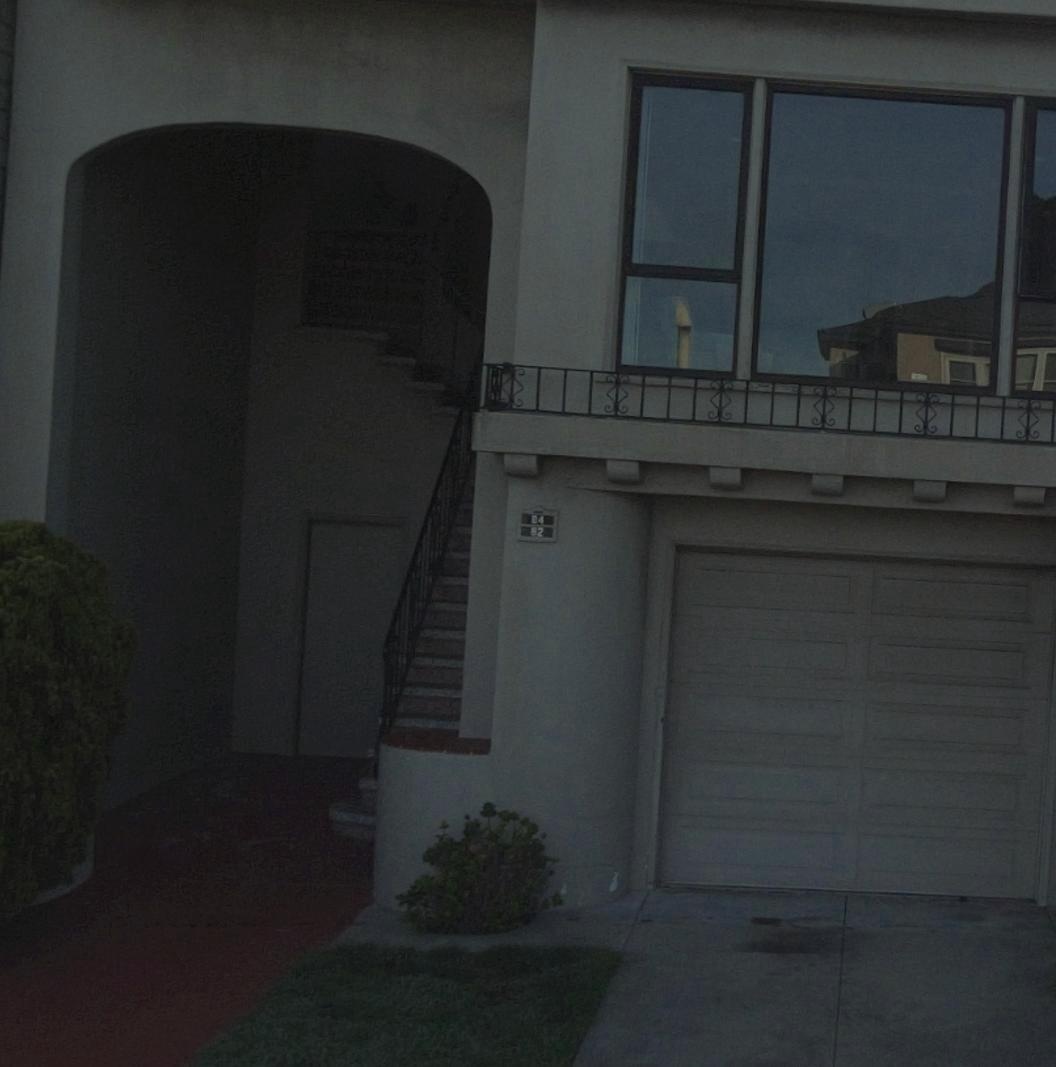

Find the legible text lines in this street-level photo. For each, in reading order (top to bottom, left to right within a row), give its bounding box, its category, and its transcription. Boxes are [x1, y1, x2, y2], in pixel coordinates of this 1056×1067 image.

[529, 512, 546, 527] StreetNumber: 84
[527, 524, 546, 540] StreetNumber: 82